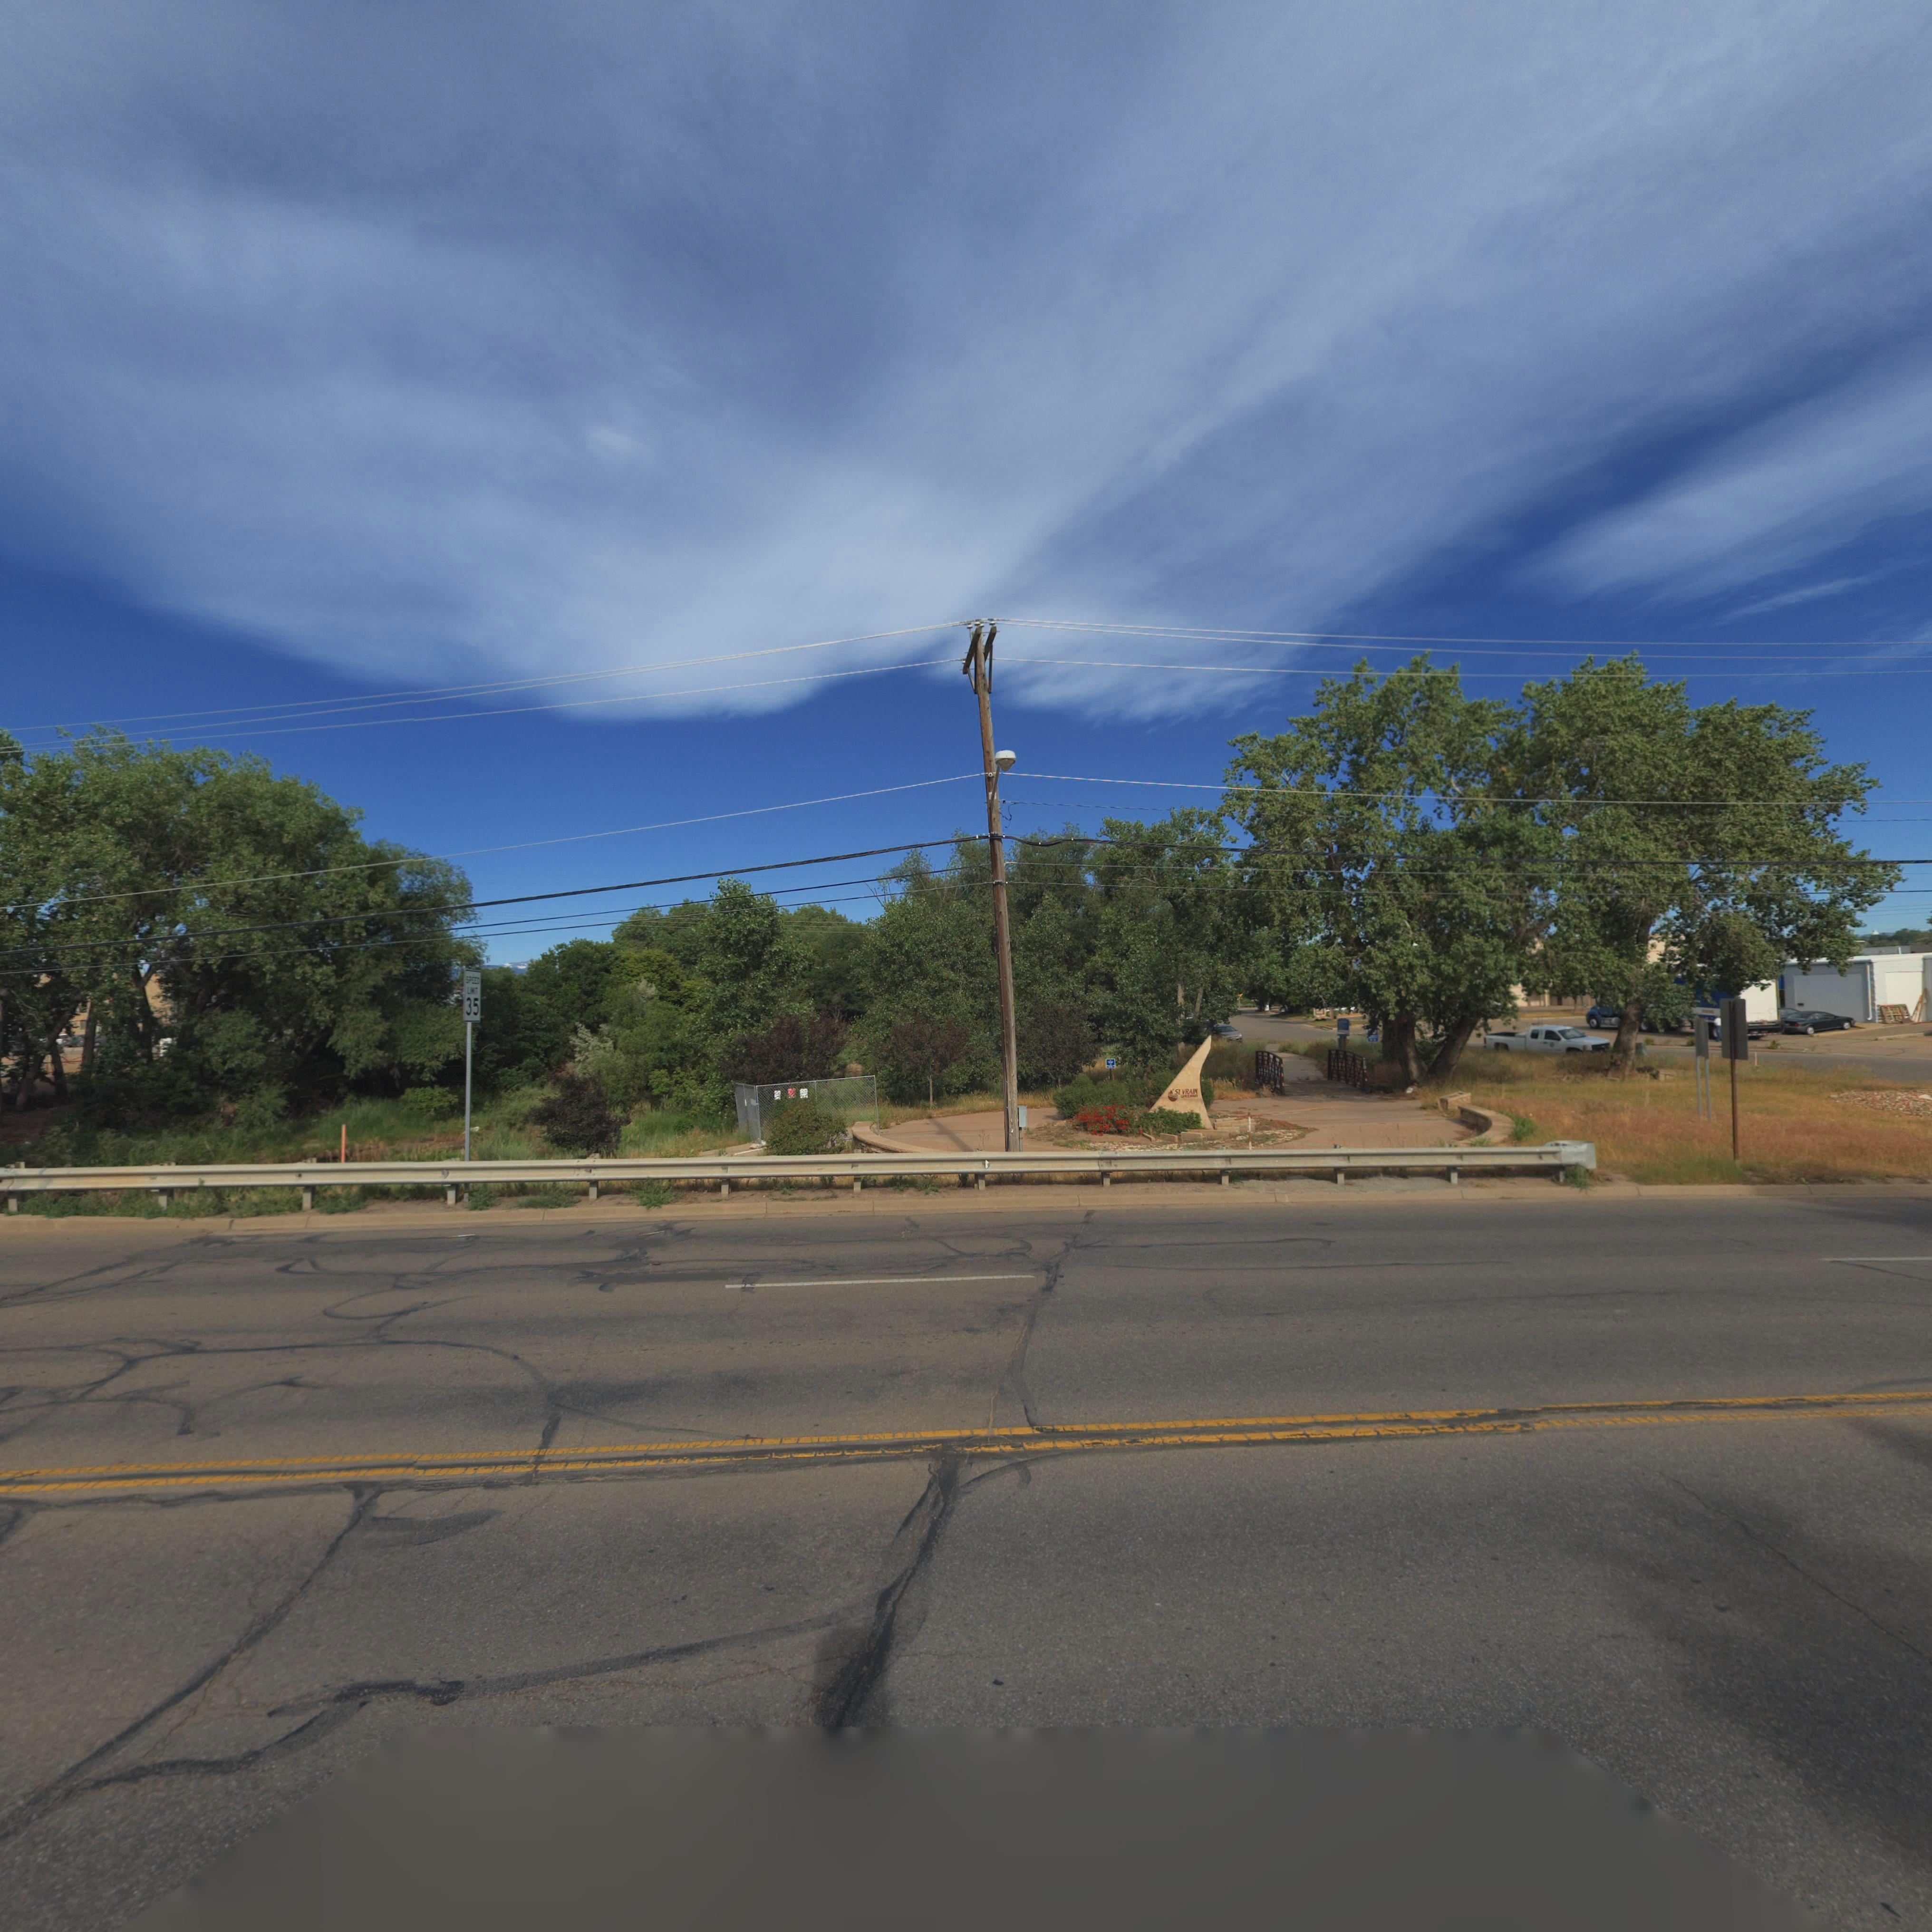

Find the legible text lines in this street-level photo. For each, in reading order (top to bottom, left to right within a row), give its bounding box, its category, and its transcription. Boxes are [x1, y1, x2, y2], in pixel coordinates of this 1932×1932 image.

[1174, 1088, 1198, 1094] BusinessName: St VRAIN
[1180, 1093, 1198, 1098] BusinessName: CEMETARY